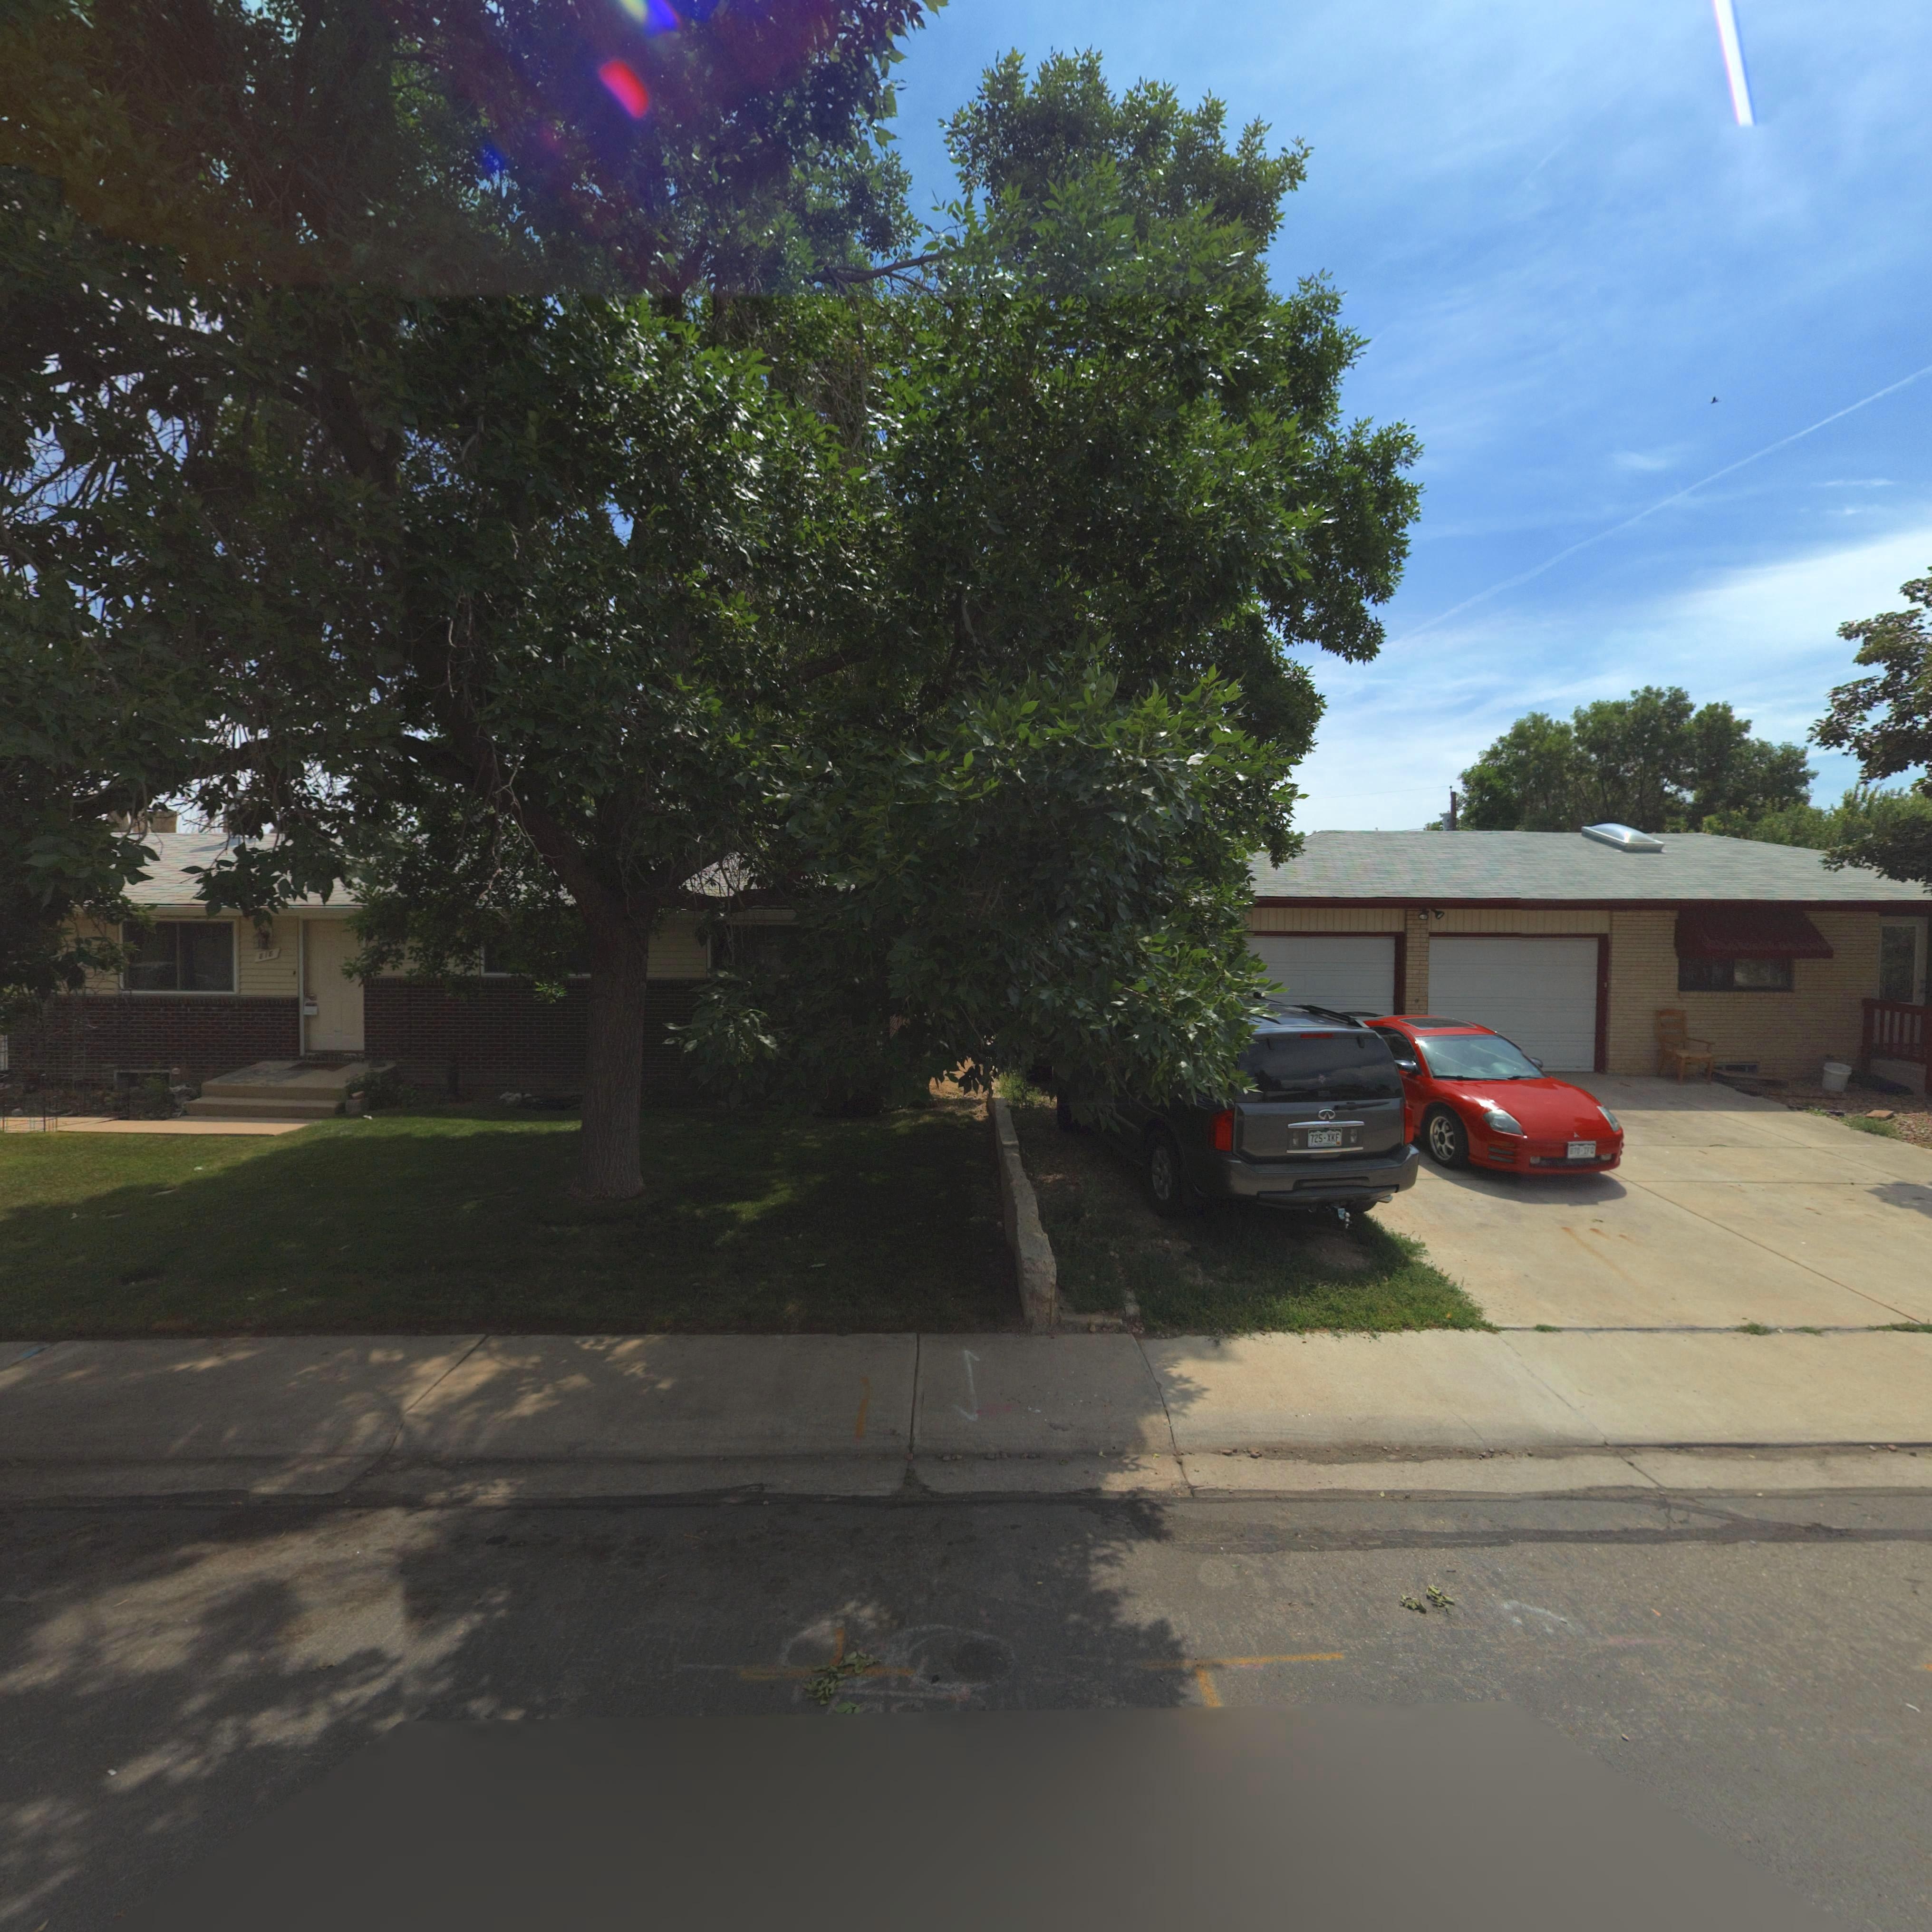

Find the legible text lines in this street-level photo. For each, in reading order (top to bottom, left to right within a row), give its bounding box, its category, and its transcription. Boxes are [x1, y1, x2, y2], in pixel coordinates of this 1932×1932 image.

[259, 950, 273, 960] StreetNumber: 818